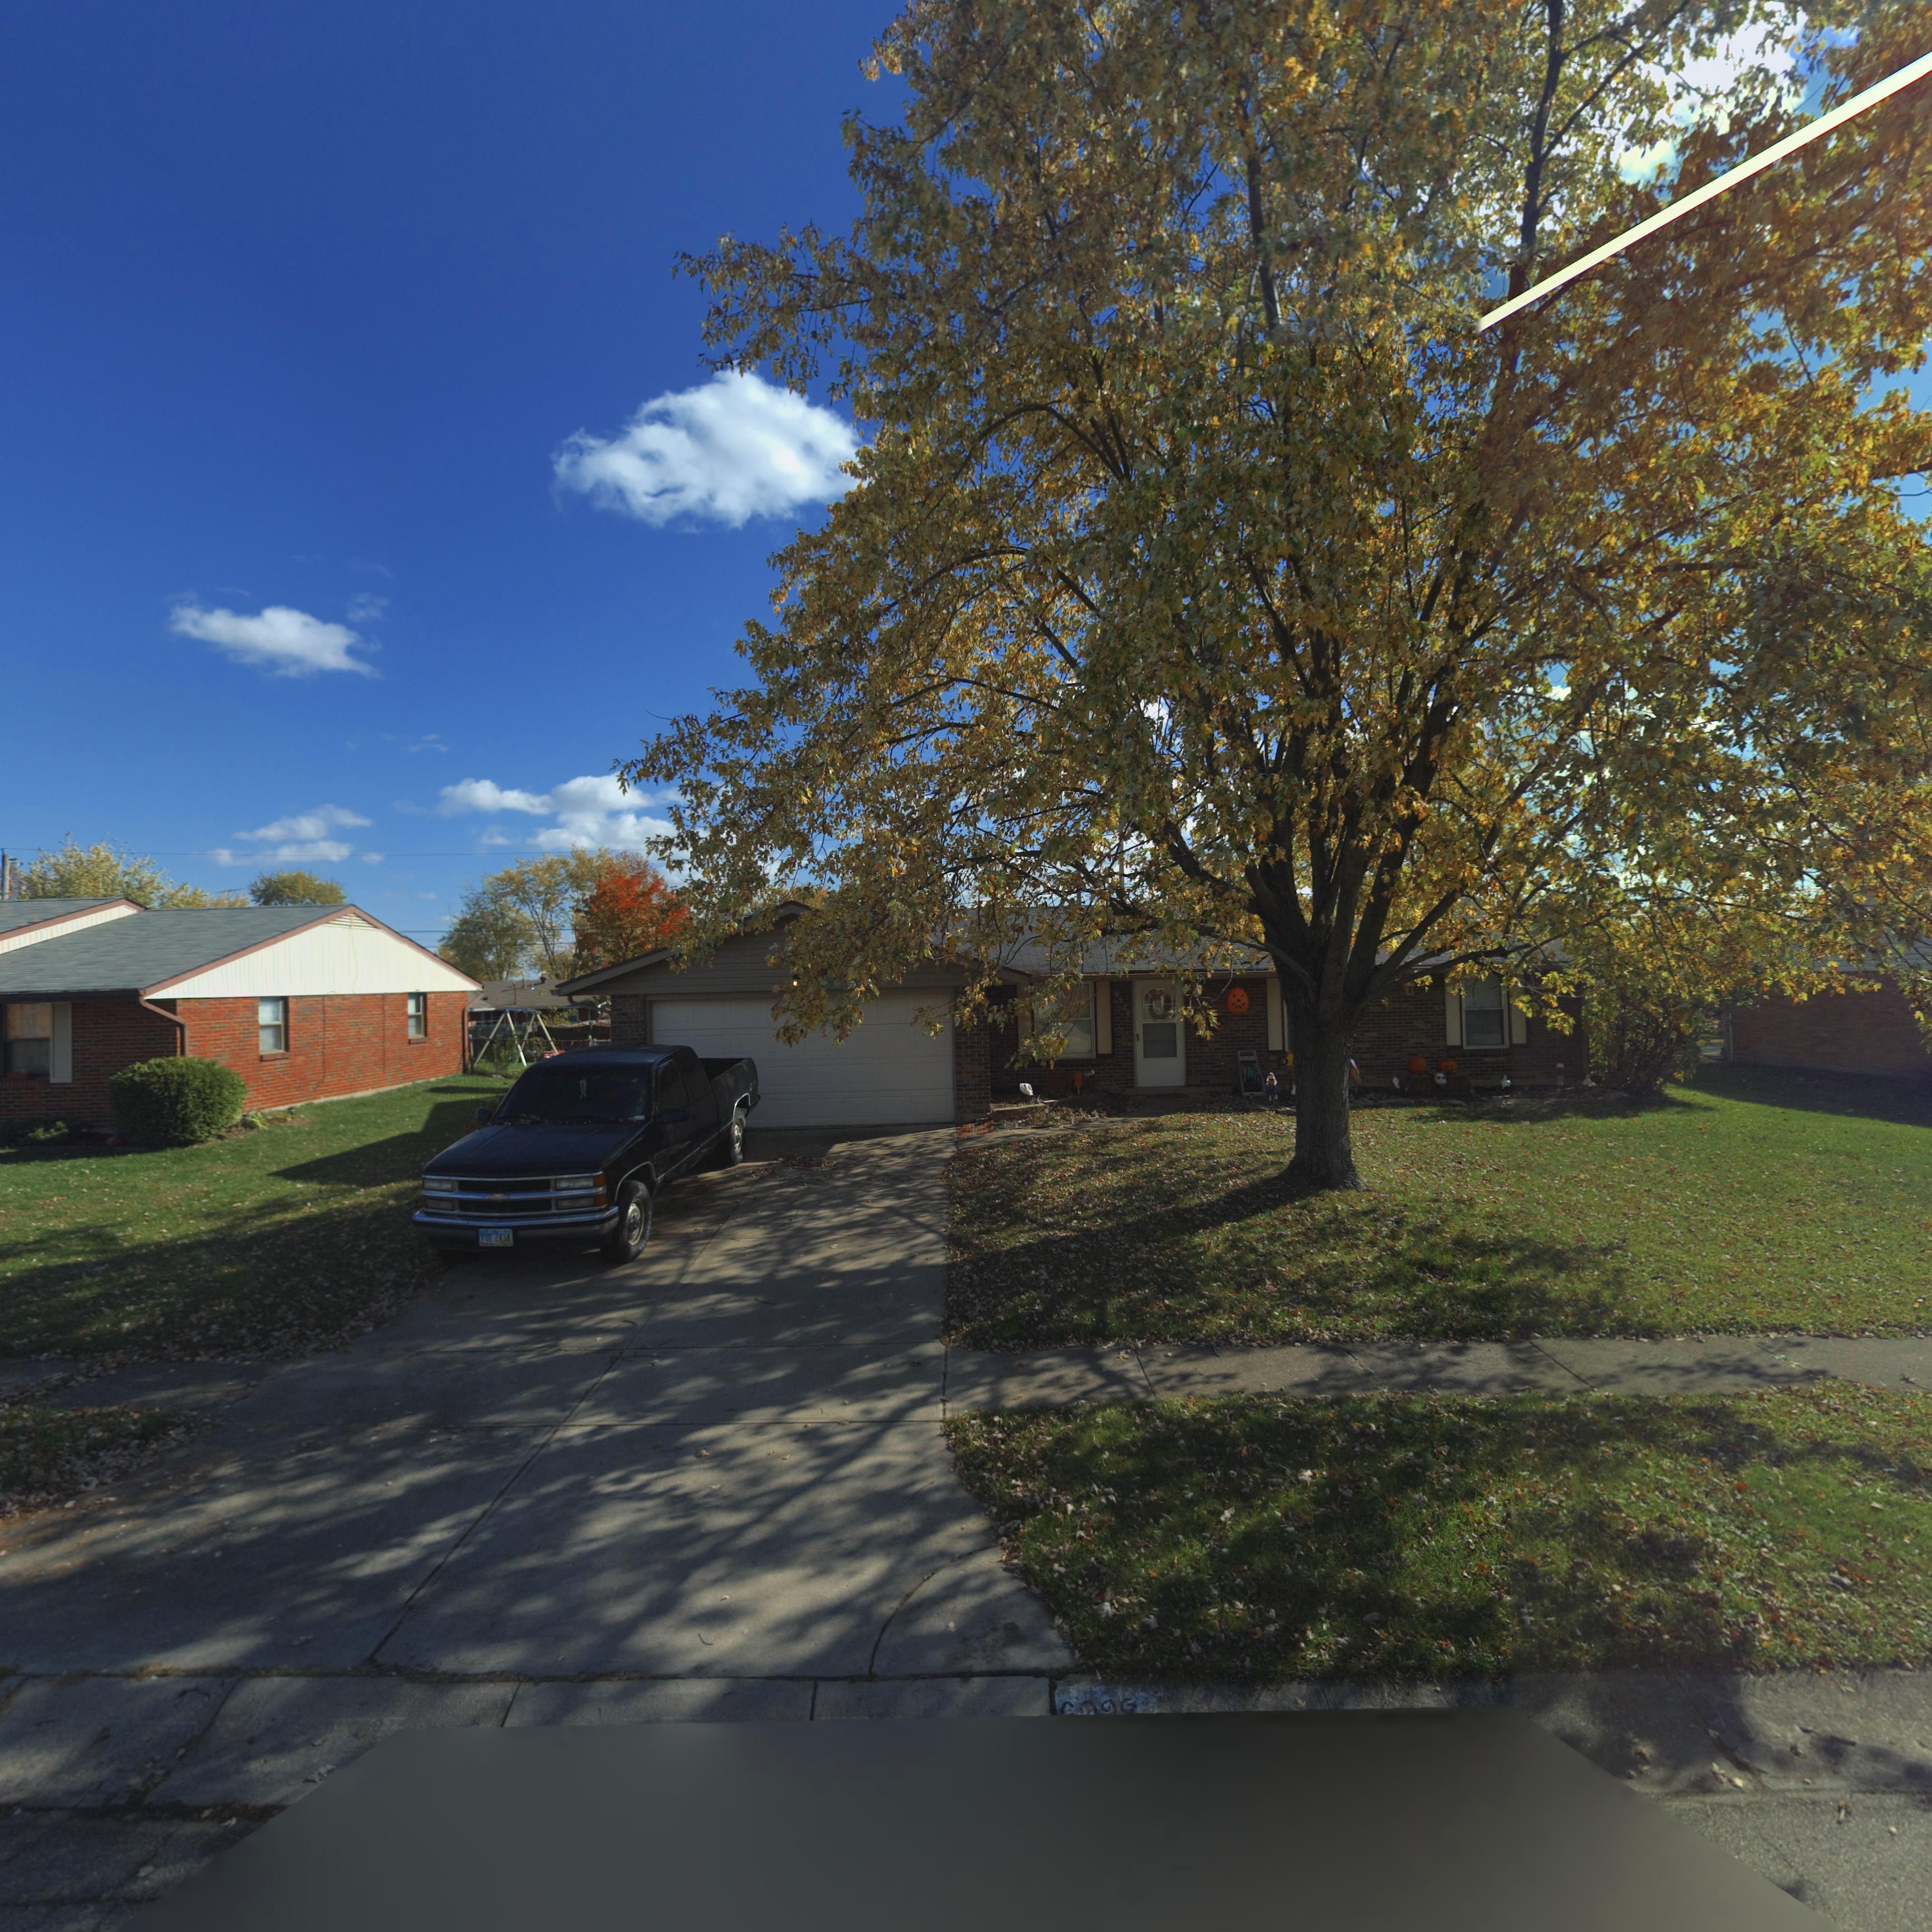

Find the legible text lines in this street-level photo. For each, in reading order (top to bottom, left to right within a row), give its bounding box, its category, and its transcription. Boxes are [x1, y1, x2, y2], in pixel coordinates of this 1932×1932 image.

[1113, 990, 1132, 1017] StreetNumber: 6928